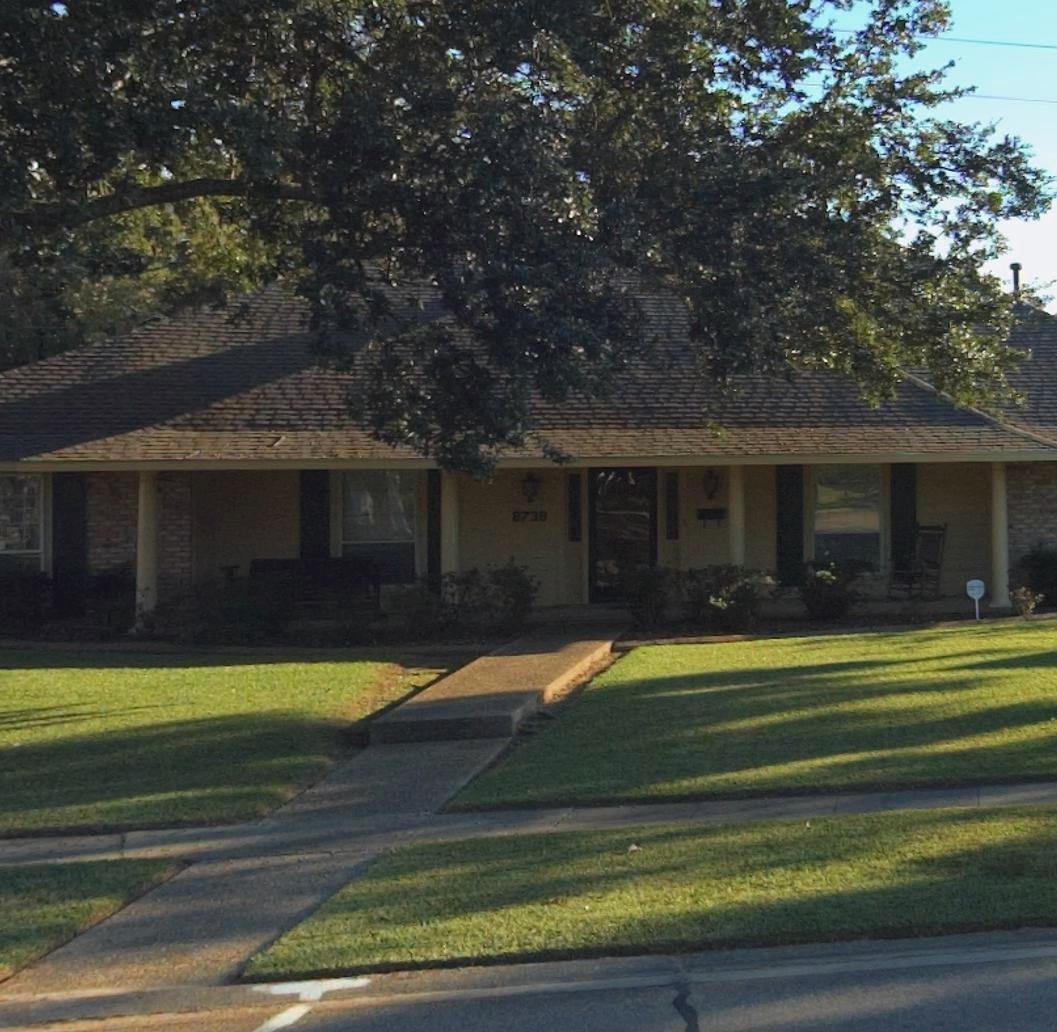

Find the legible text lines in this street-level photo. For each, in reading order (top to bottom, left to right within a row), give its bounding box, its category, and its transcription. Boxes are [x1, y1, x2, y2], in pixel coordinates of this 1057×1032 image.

[511, 509, 548, 523] StreetNumber: 8738